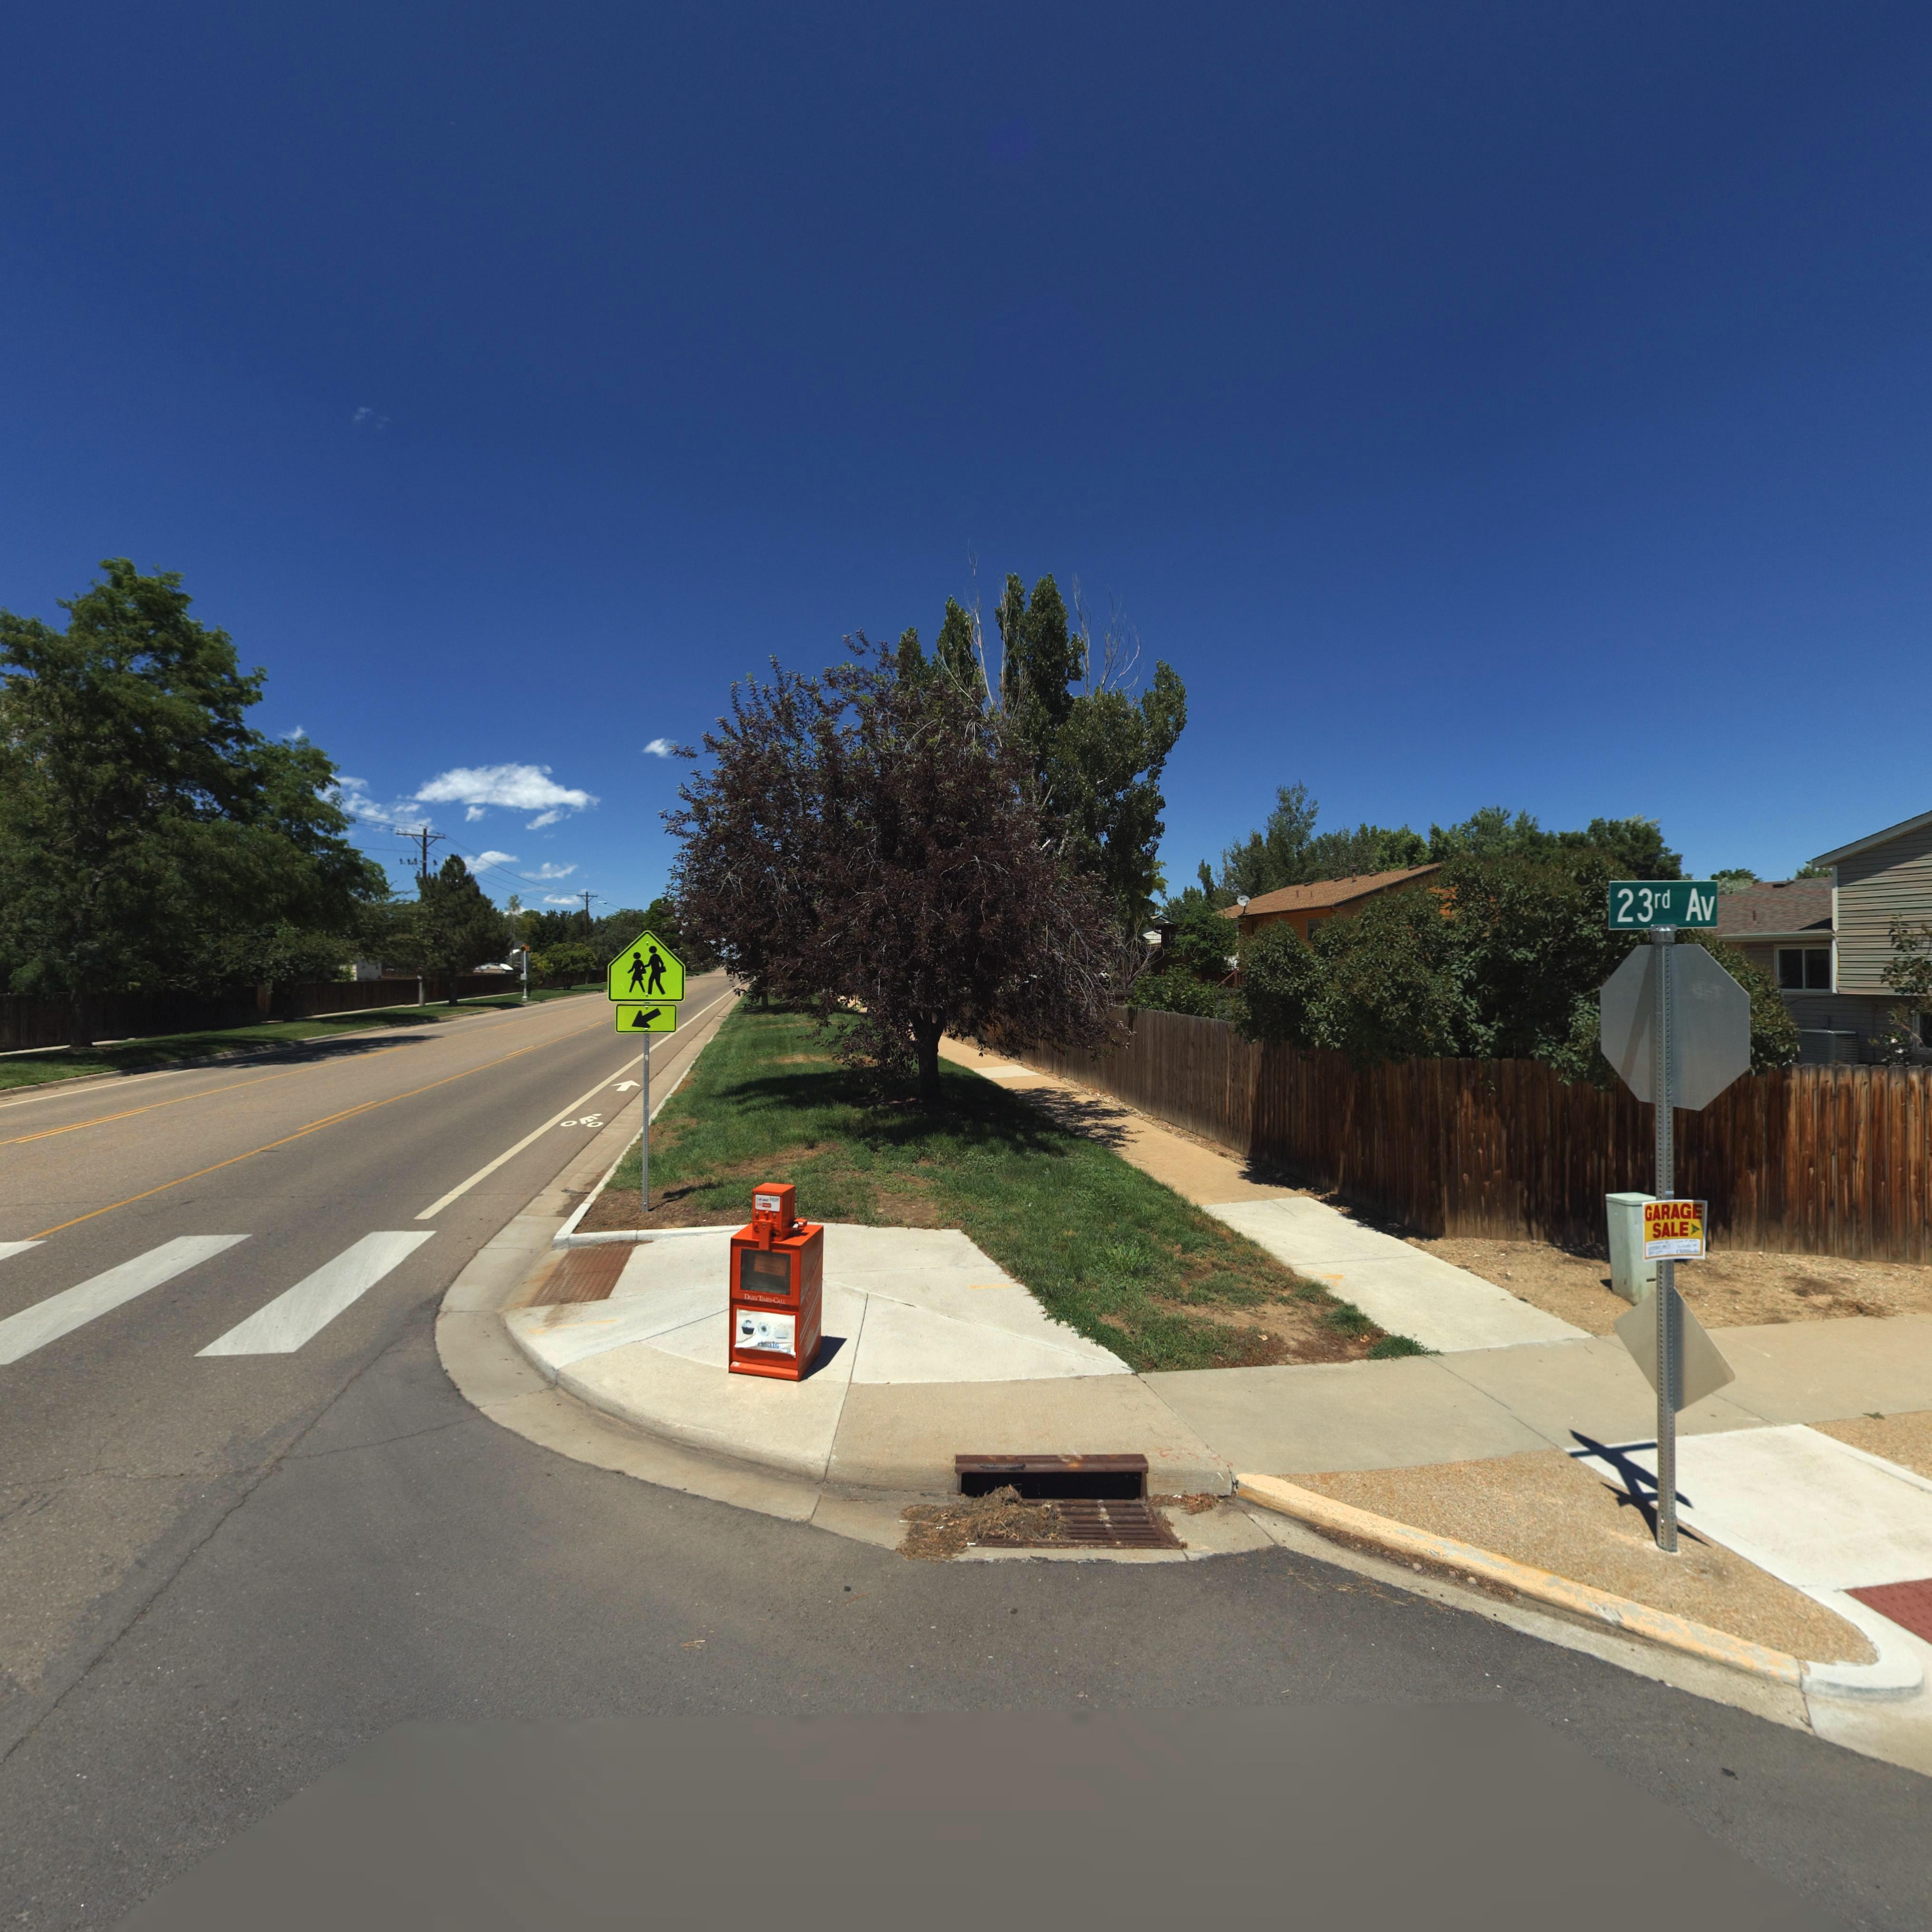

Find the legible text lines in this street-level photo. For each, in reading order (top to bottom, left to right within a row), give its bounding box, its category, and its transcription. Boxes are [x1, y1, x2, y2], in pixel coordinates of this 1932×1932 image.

[1616, 888, 1716, 923] StreetName: 23rd Av